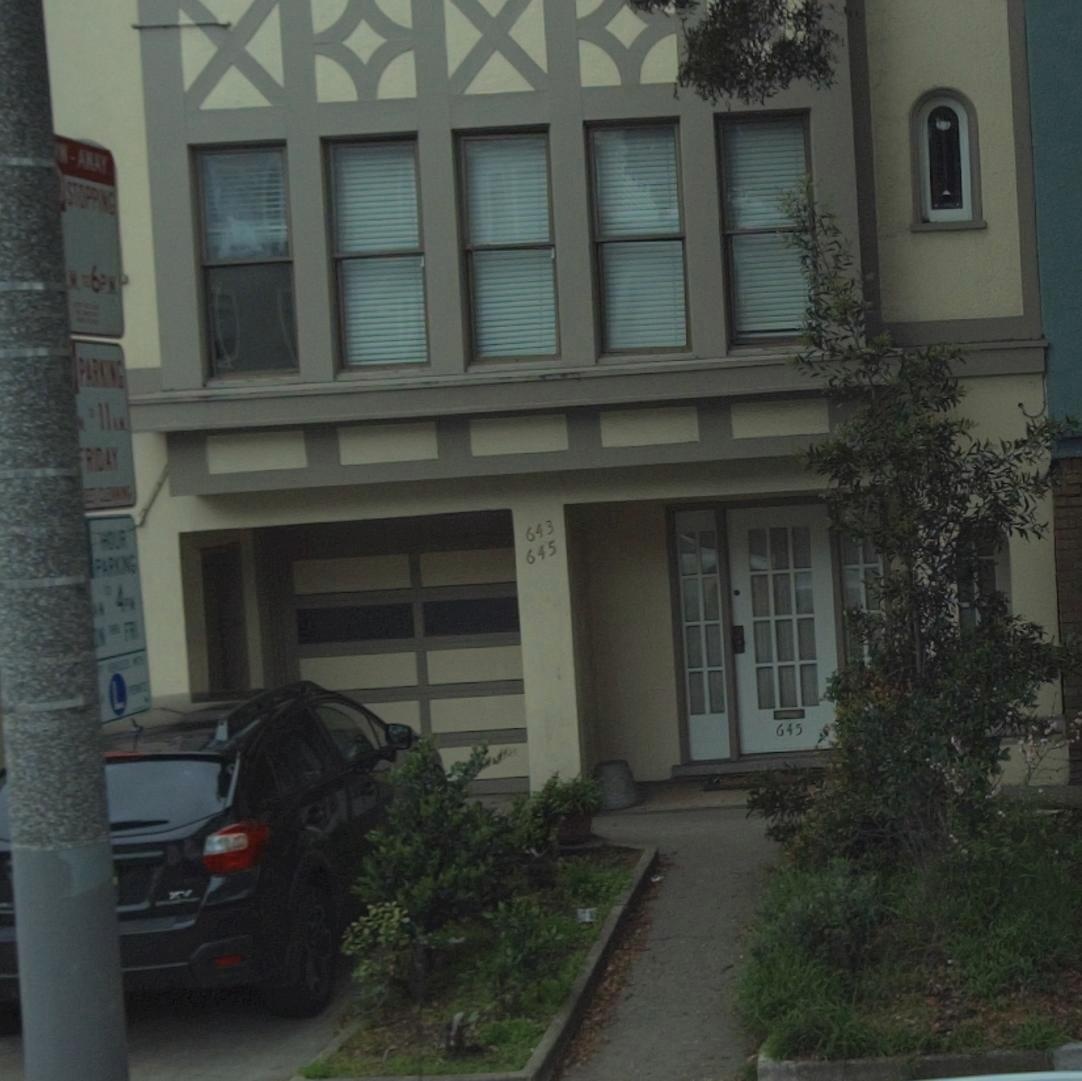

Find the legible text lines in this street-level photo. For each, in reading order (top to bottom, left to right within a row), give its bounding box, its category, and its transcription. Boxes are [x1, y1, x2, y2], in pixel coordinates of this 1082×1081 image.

[56, 138, 112, 177] None: W-AWAY
[64, 178, 117, 217] None: STOPPING
[89, 261, 107, 296] None: 6P
[75, 353, 126, 391] None: PARKING
[95, 401, 116, 435] None: 11
[83, 443, 122, 476] None: RIDAY
[96, 525, 129, 554] None: HOUR
[92, 550, 139, 581] None: PARKING
[522, 516, 556, 546] StreetNumber: 643
[523, 536, 558, 569] StreetNumber: 645
[113, 581, 129, 615] None: 4
[108, 677, 126, 713] None: L
[773, 721, 805, 738] StreetNumber: 645